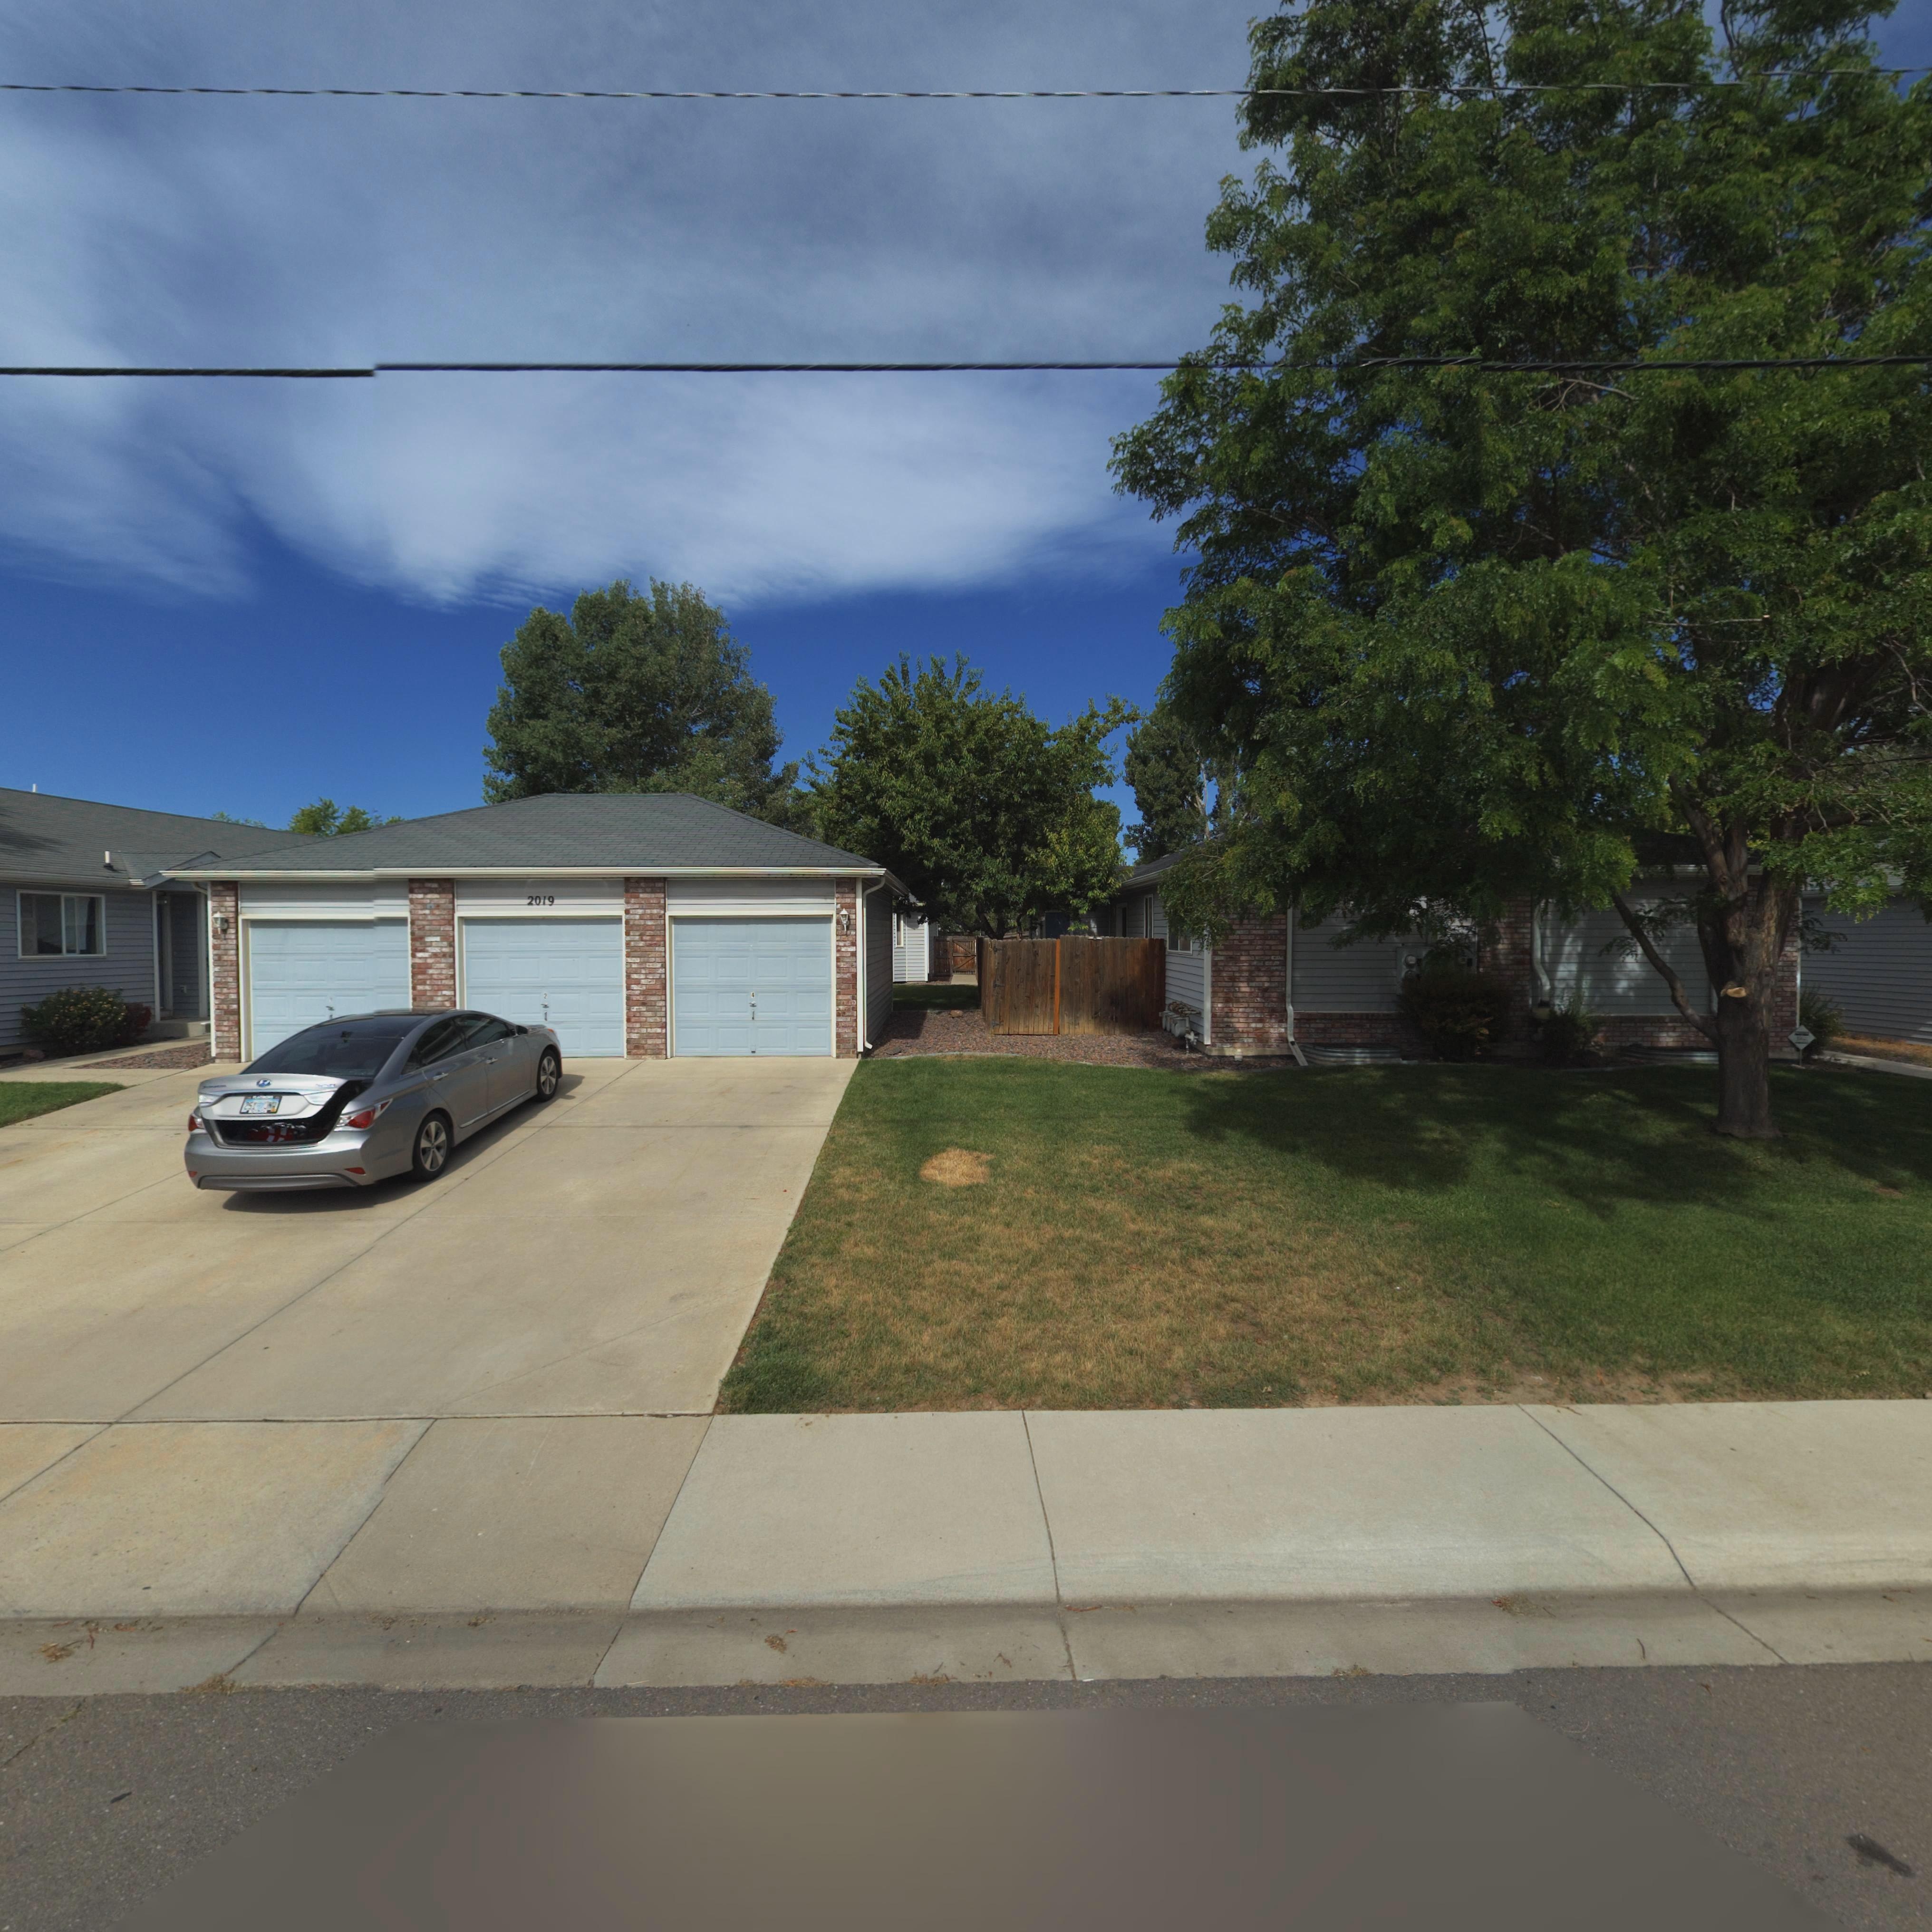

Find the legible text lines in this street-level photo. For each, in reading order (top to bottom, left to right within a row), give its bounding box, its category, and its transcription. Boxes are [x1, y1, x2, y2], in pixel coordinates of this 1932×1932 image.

[526, 895, 554, 906] StreetNumber: 2019